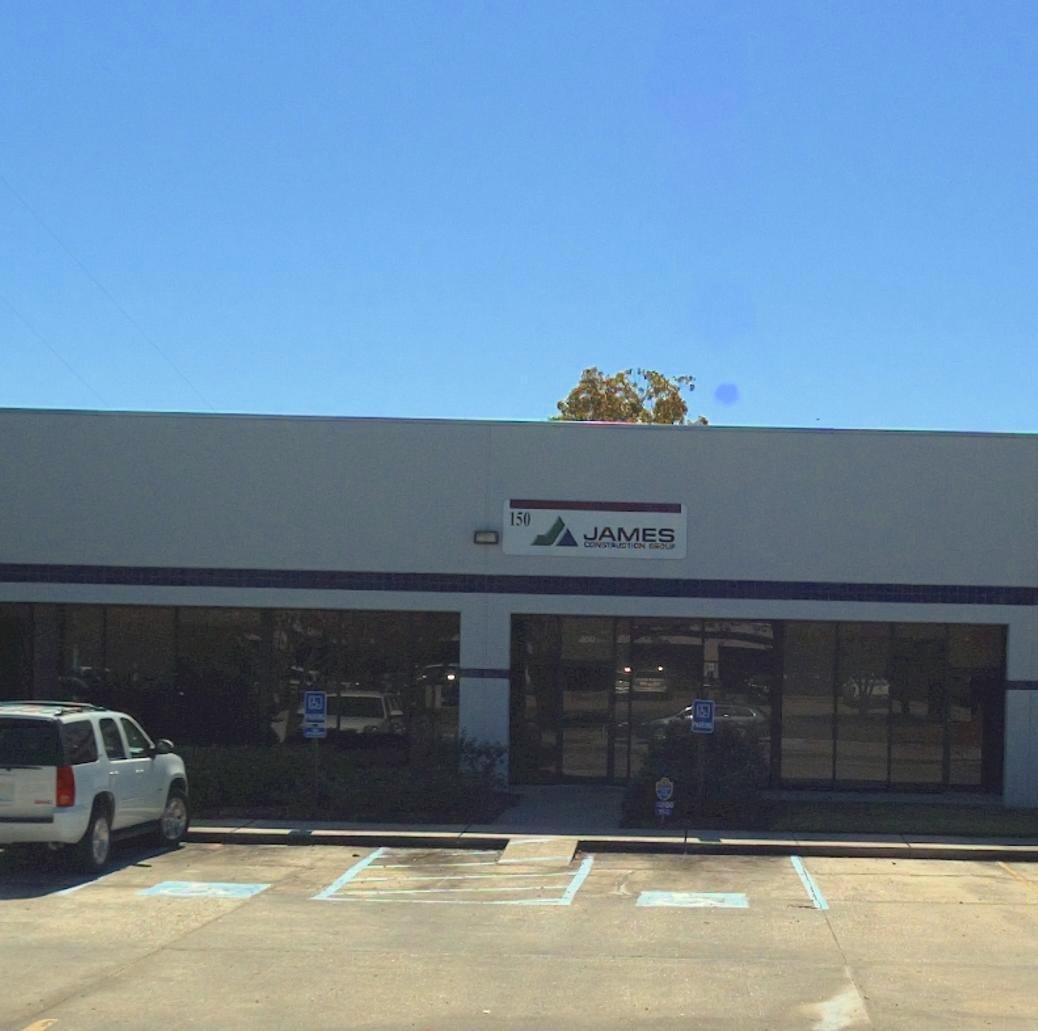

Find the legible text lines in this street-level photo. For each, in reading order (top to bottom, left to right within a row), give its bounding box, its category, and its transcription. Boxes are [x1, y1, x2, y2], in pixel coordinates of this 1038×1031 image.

[508, 511, 532, 527] StreetNumber: 150
[583, 525, 676, 543] BusinessName: JAMES
[583, 541, 677, 550] BusinessName: CONSTRUCTION GROUP
[305, 713, 325, 720] None: PARKING
[693, 721, 712, 729] None: PARKING
[305, 731, 325, 736] None: ACCESSIBLE
[311, 728, 320, 732] None: VAN
[34, 799, 52, 805] None: GMC